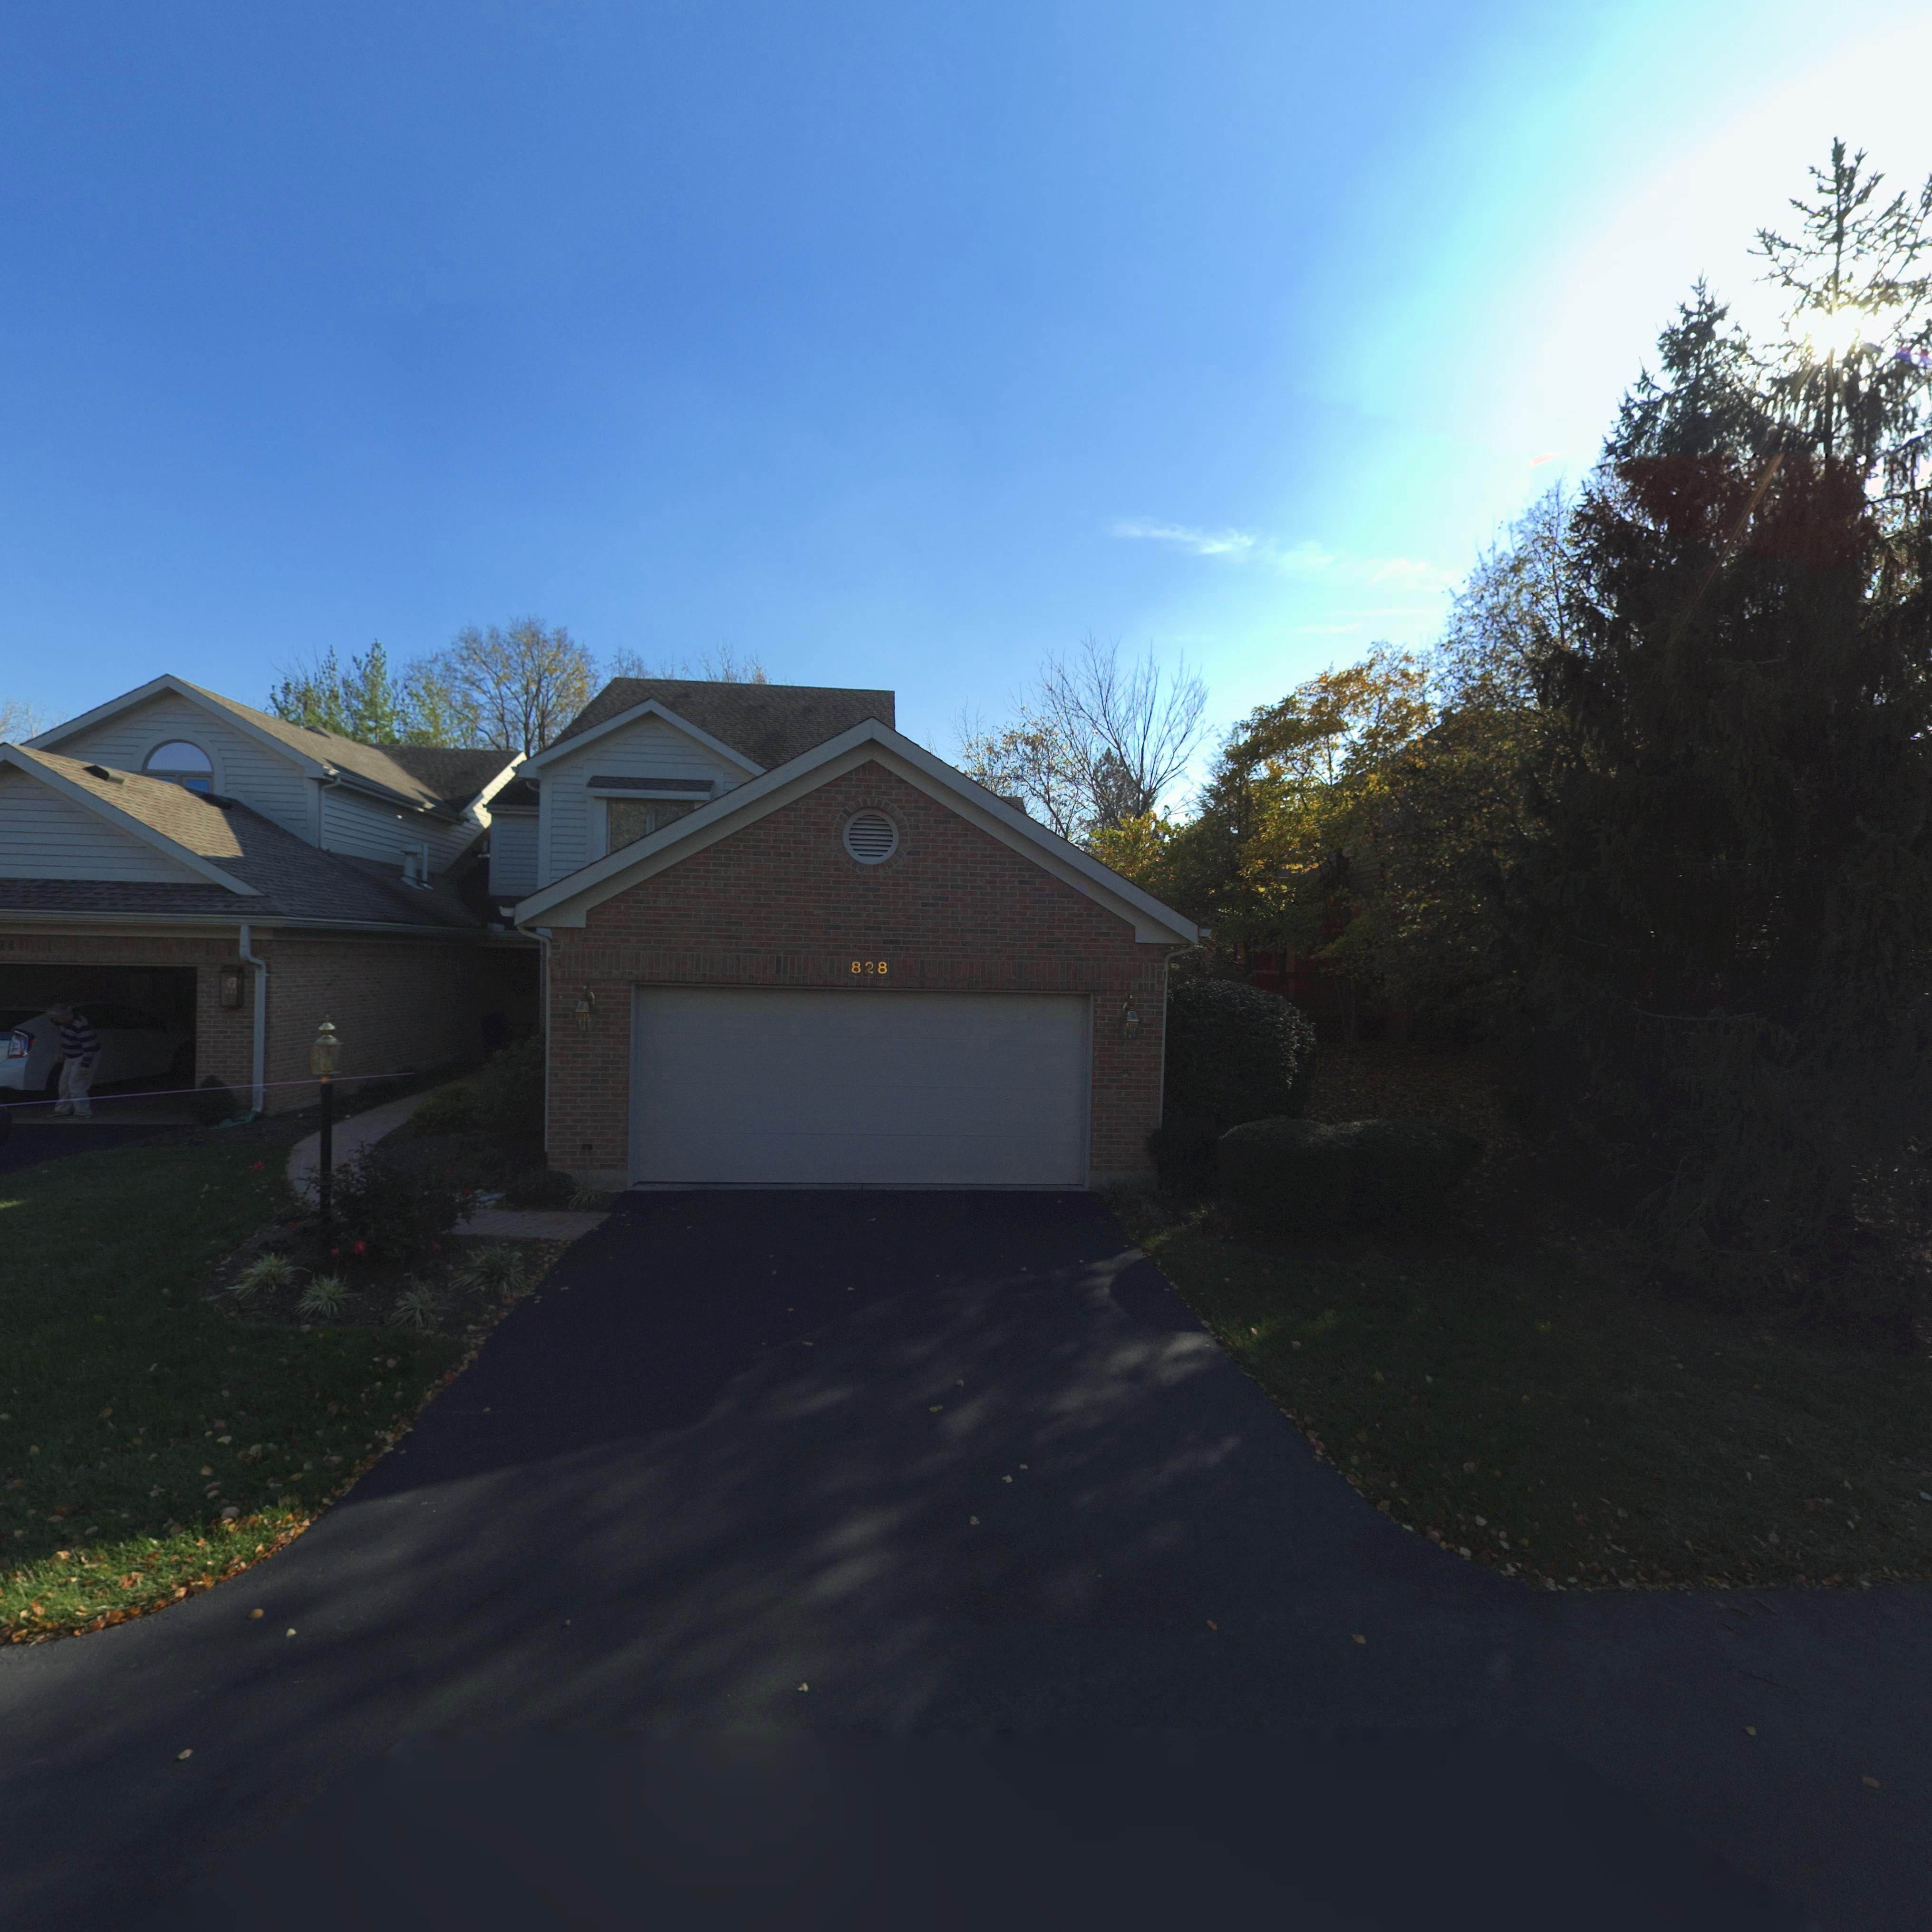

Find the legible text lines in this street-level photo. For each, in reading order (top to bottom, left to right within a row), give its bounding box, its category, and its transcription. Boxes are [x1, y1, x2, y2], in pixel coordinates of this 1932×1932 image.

[849, 959, 889, 976] StreetNumber: 828